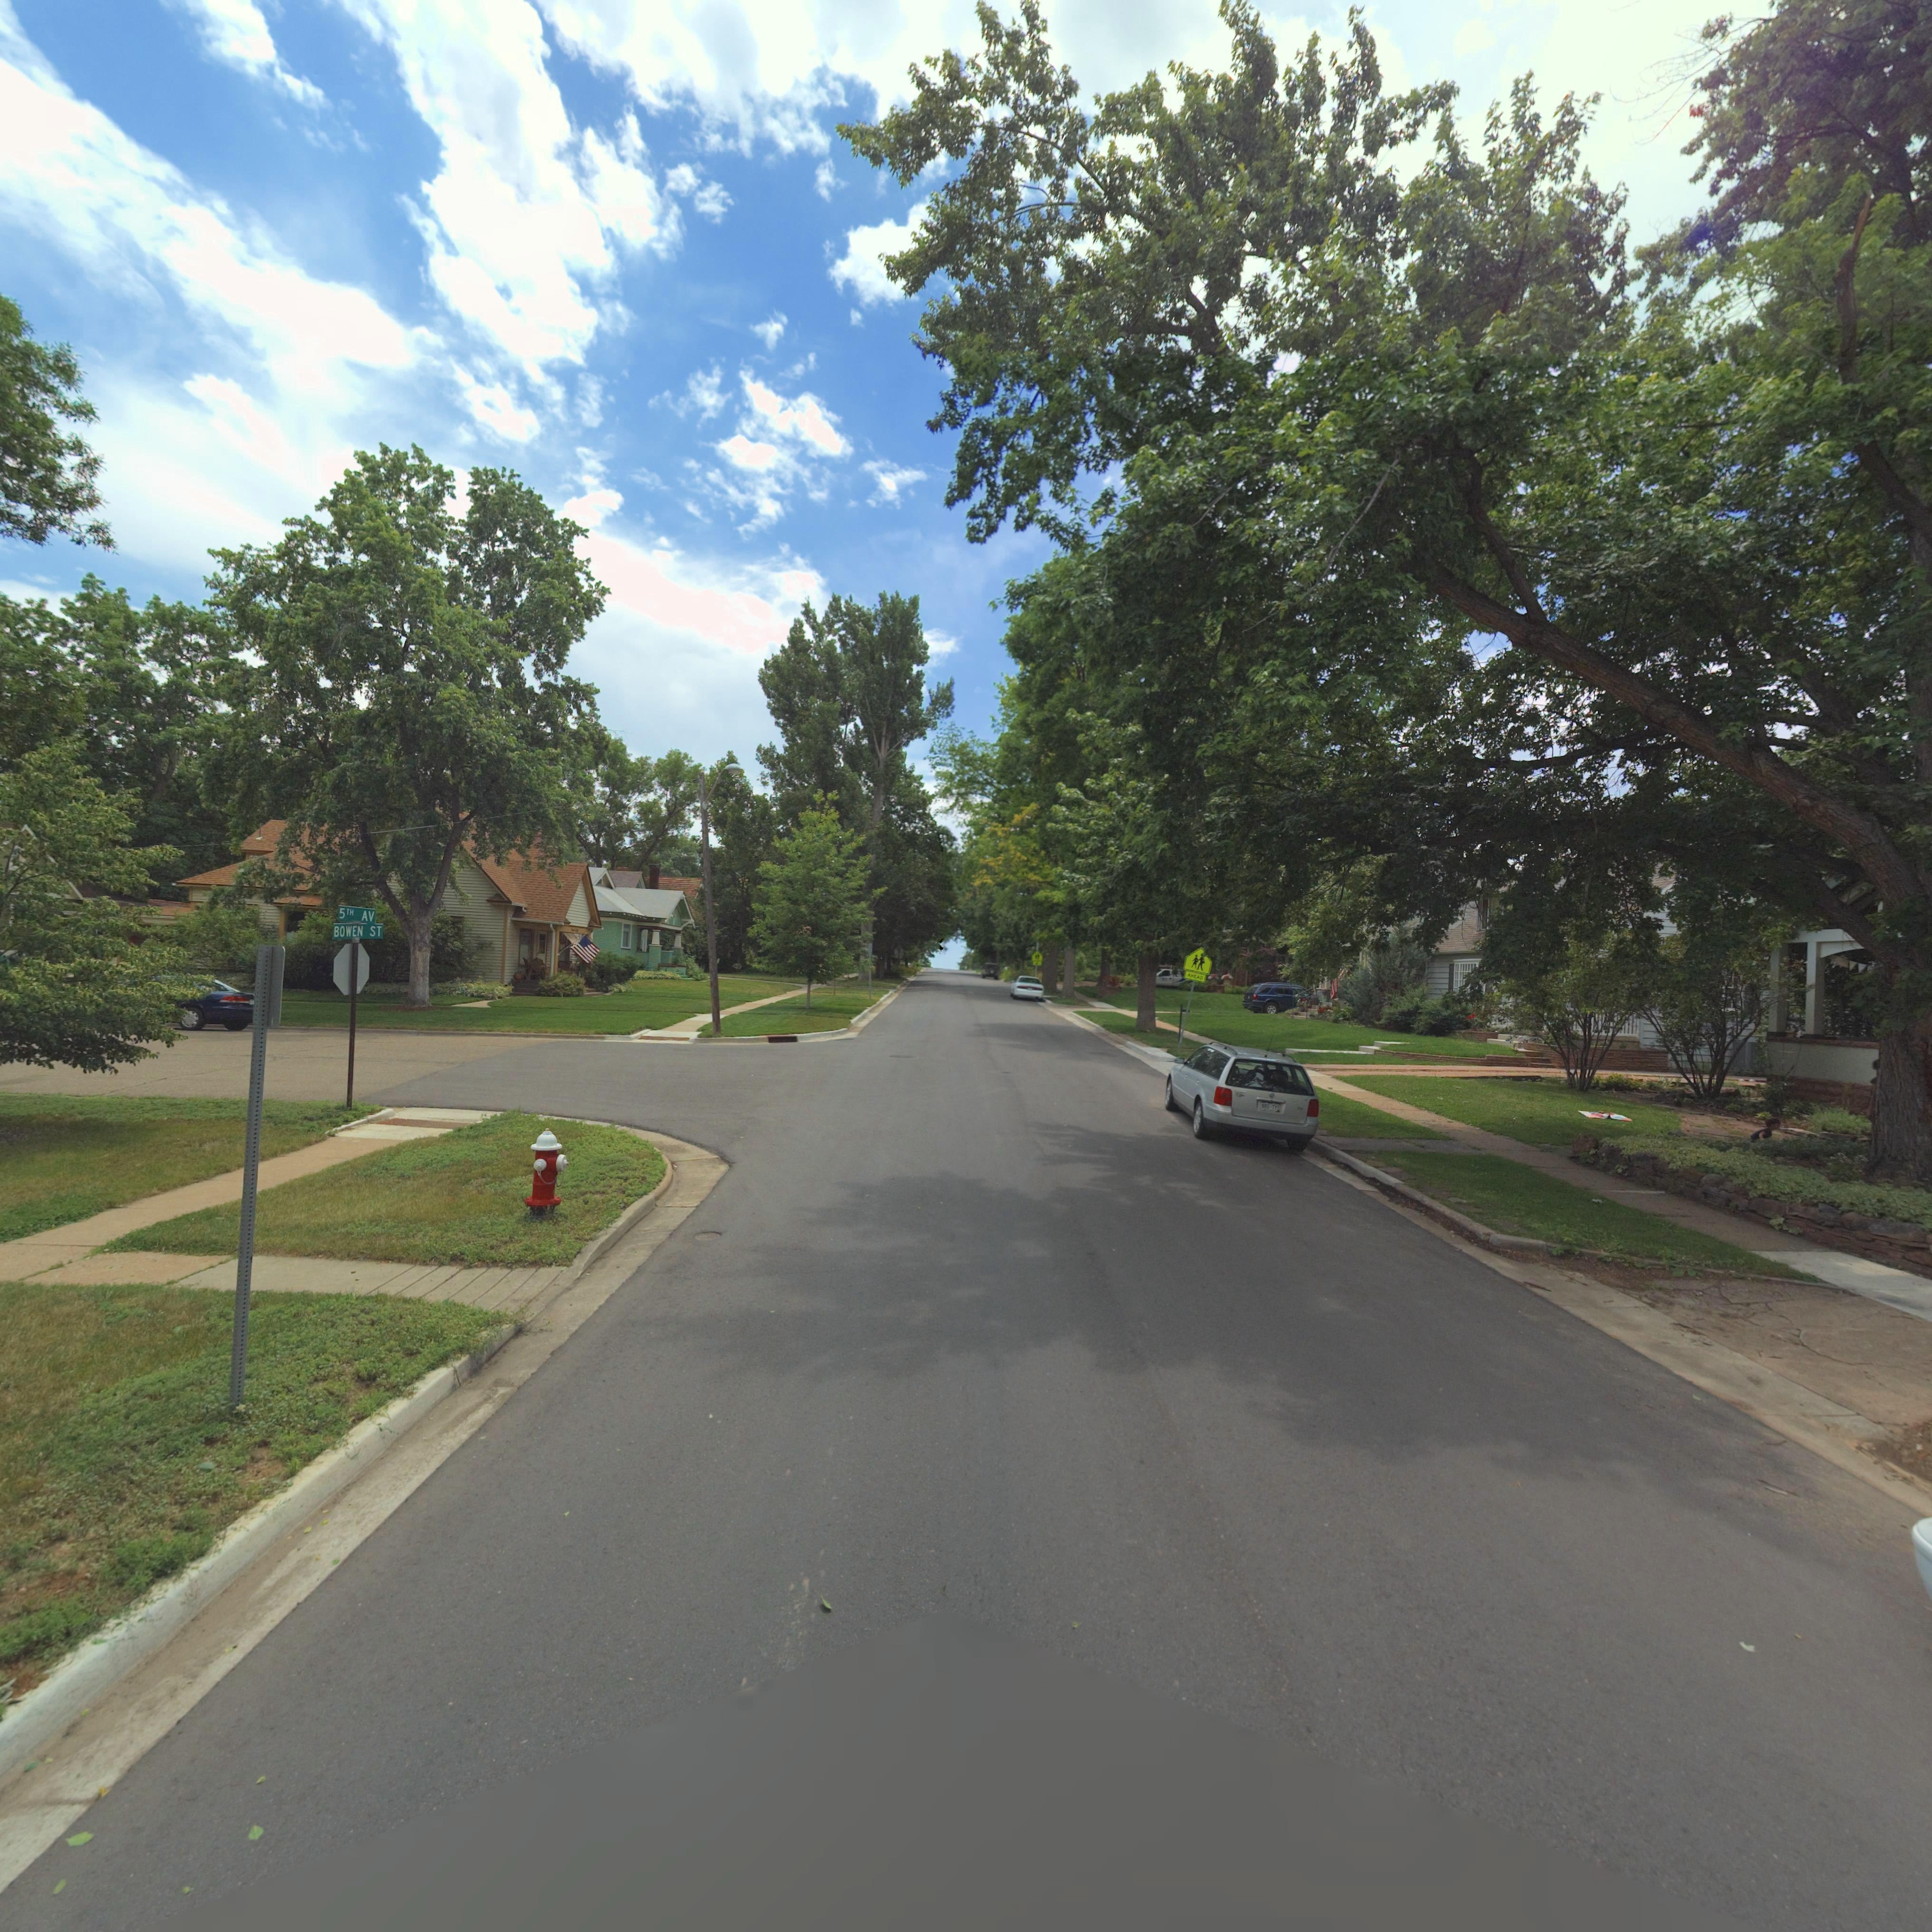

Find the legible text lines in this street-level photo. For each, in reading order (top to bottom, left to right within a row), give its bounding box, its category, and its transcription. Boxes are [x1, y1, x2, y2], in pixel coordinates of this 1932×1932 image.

[338, 907, 375, 922] StreetName: 5TH AV
[333, 925, 383, 937] StreetName: BOWEN ST